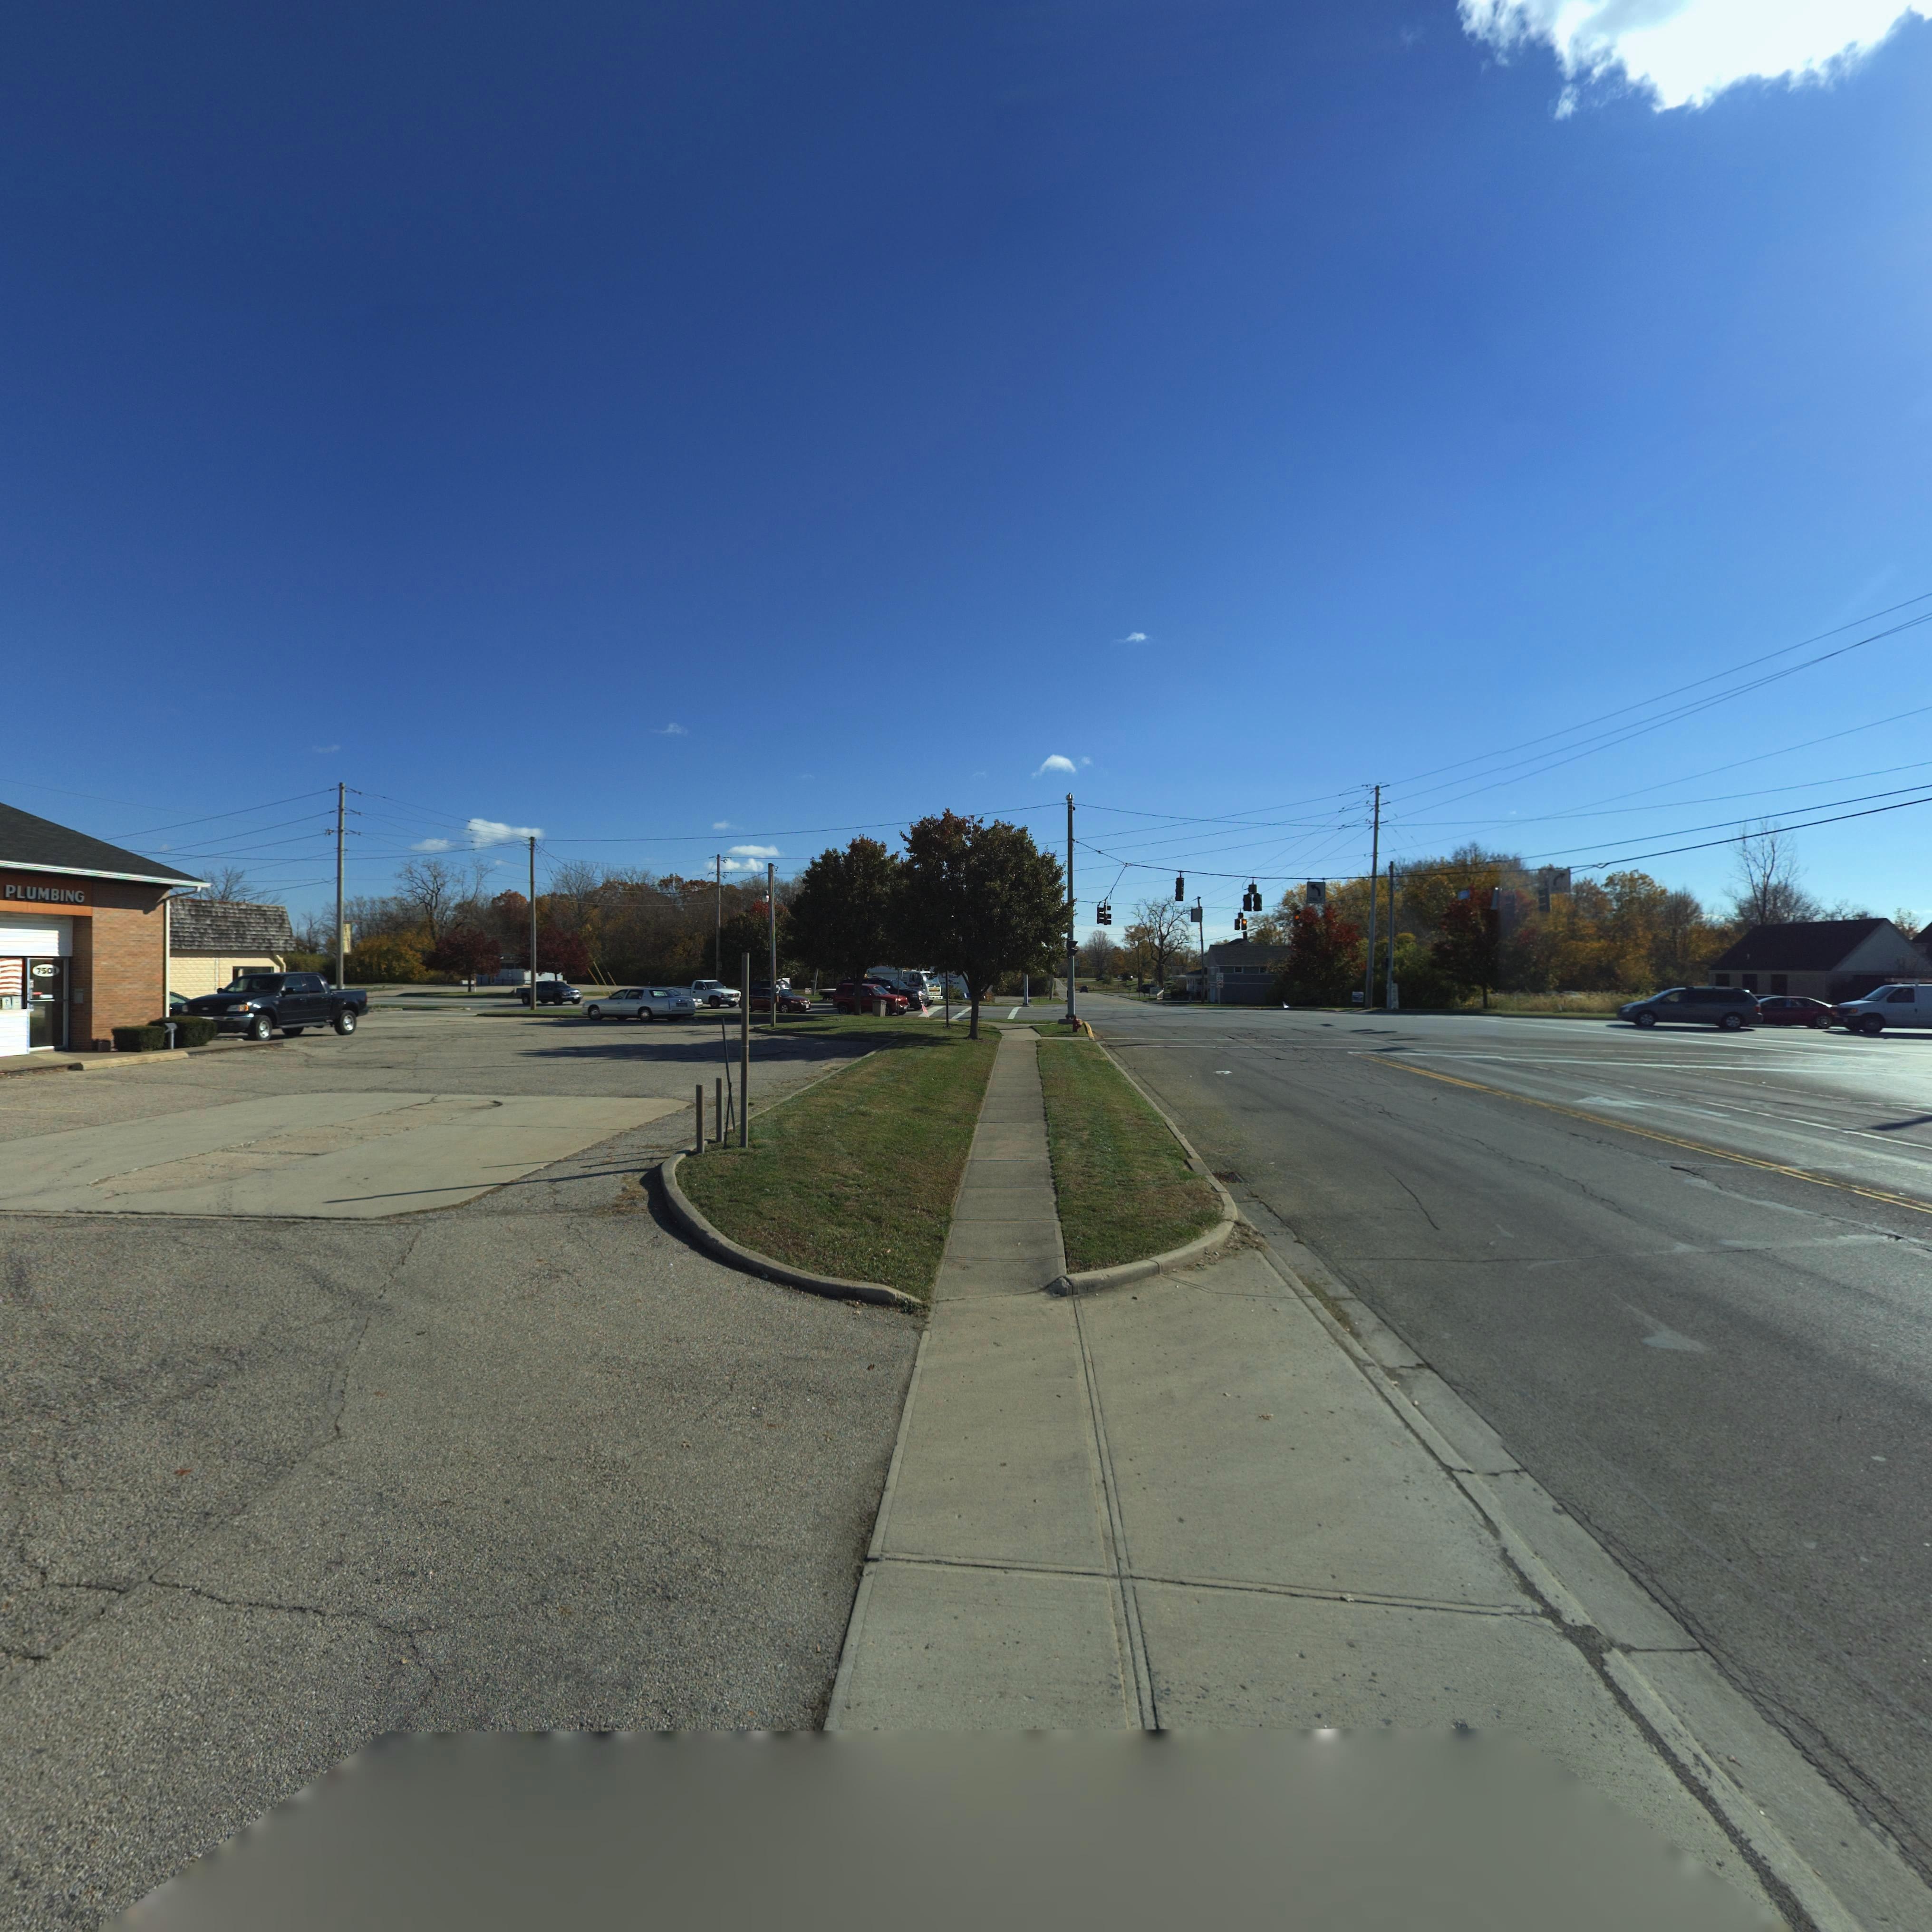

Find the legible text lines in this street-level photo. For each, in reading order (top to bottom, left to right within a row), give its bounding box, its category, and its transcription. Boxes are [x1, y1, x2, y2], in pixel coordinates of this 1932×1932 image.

[4, 884, 86, 904] BusinessName: PLUMBING
[36, 967, 57, 974] StreetNumber: 7501